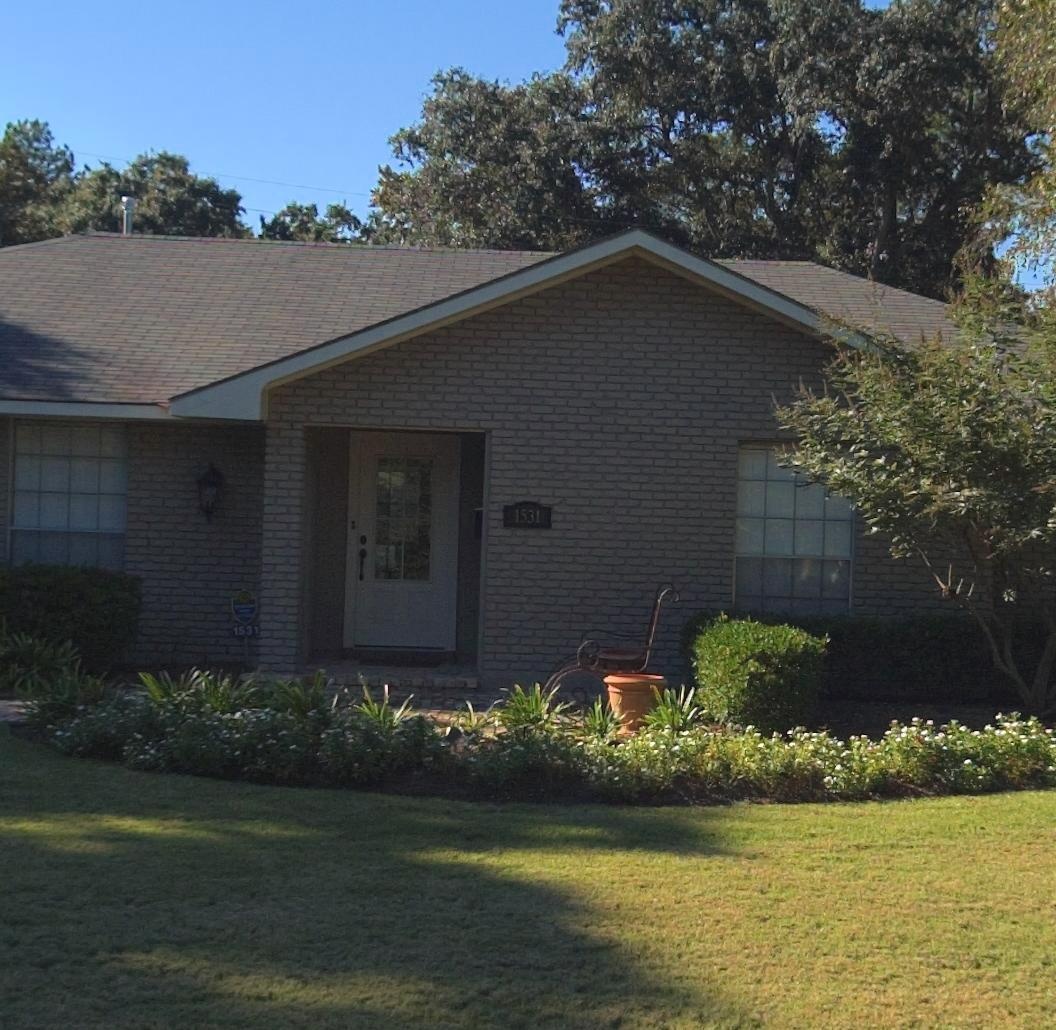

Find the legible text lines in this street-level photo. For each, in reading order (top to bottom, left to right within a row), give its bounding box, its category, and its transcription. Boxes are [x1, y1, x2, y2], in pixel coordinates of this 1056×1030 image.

[513, 507, 541, 526] StreetNumber: 1531
[231, 624, 261, 638] StreetNumber: 1531